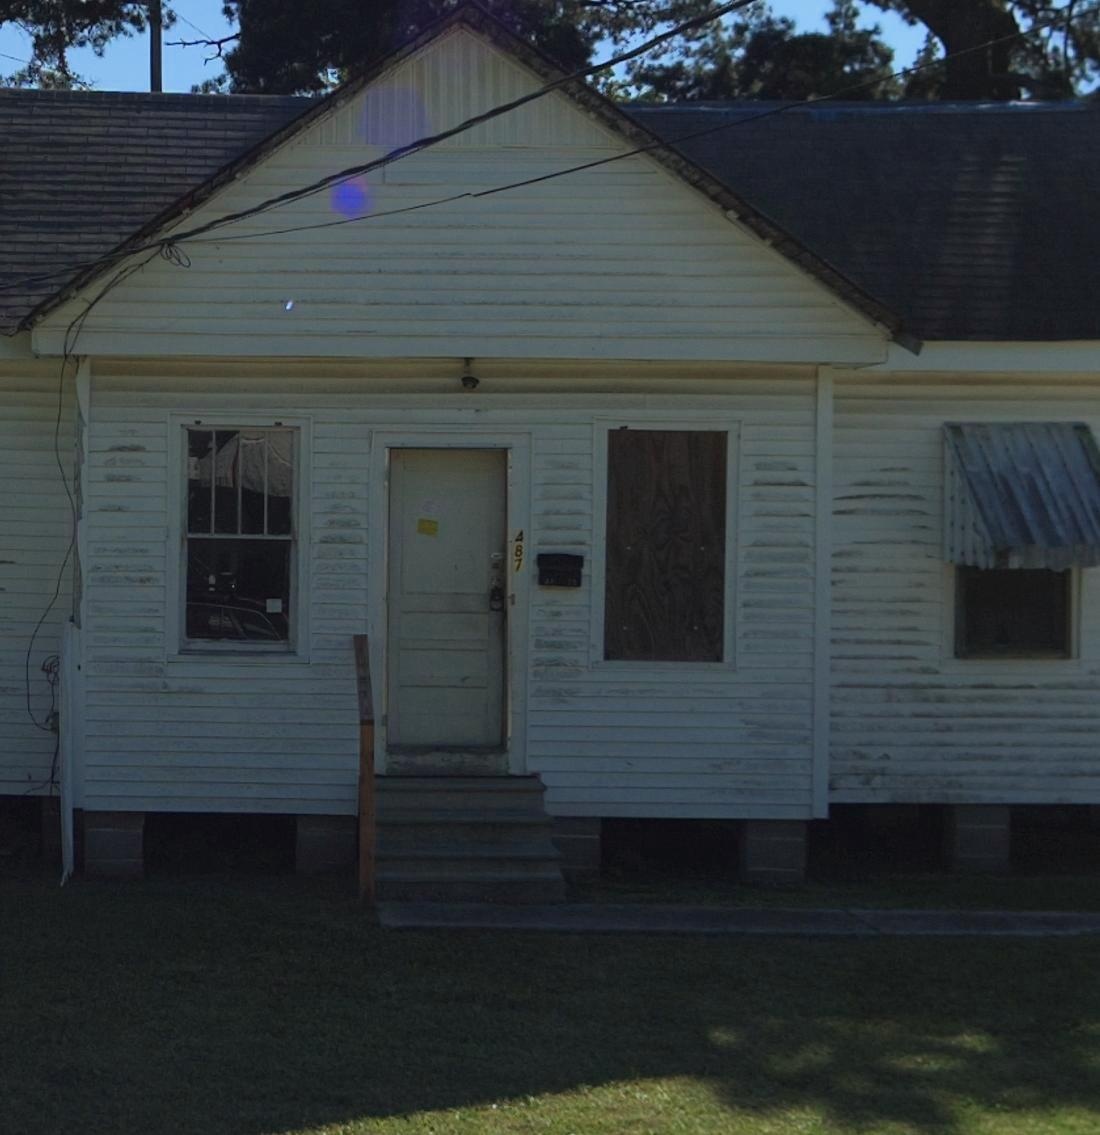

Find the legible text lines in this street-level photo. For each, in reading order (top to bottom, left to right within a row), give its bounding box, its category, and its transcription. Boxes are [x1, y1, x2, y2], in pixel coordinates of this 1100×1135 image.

[514, 528, 525, 574] StreetNumber: 487